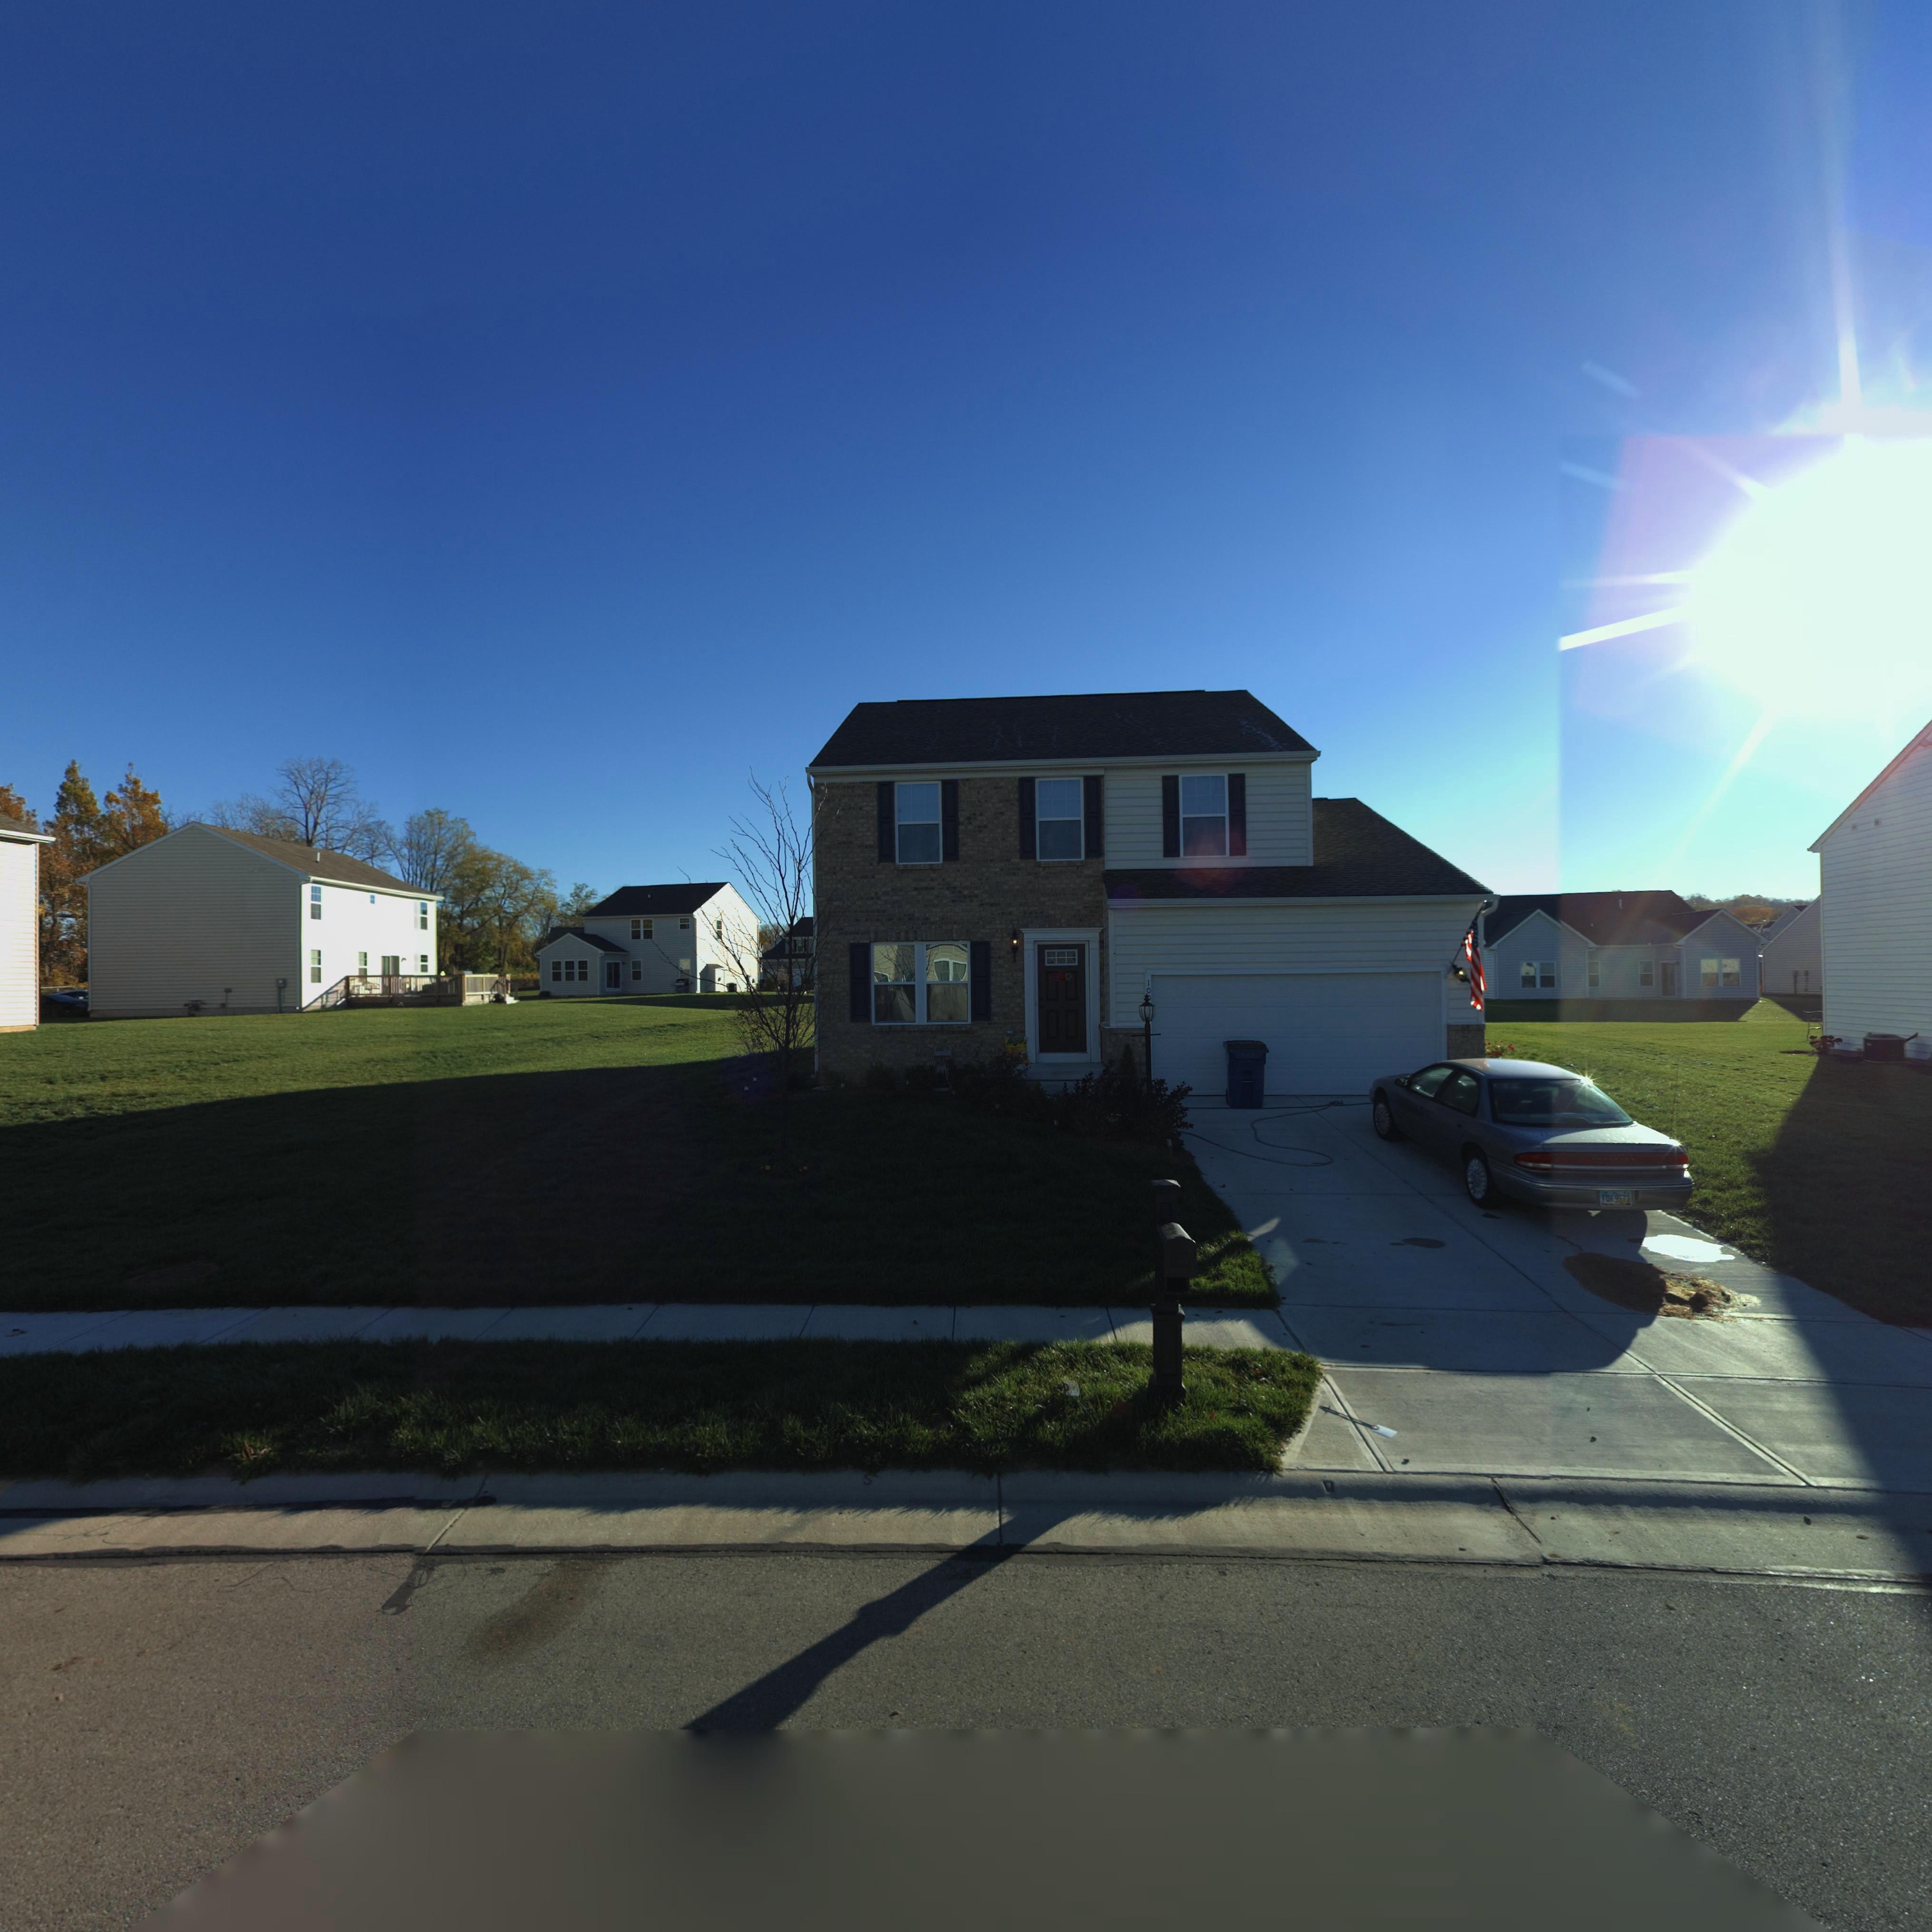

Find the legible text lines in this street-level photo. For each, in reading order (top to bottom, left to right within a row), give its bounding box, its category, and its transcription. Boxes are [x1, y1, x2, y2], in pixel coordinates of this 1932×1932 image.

[1146, 979, 1151, 995] StreetNumber: 10